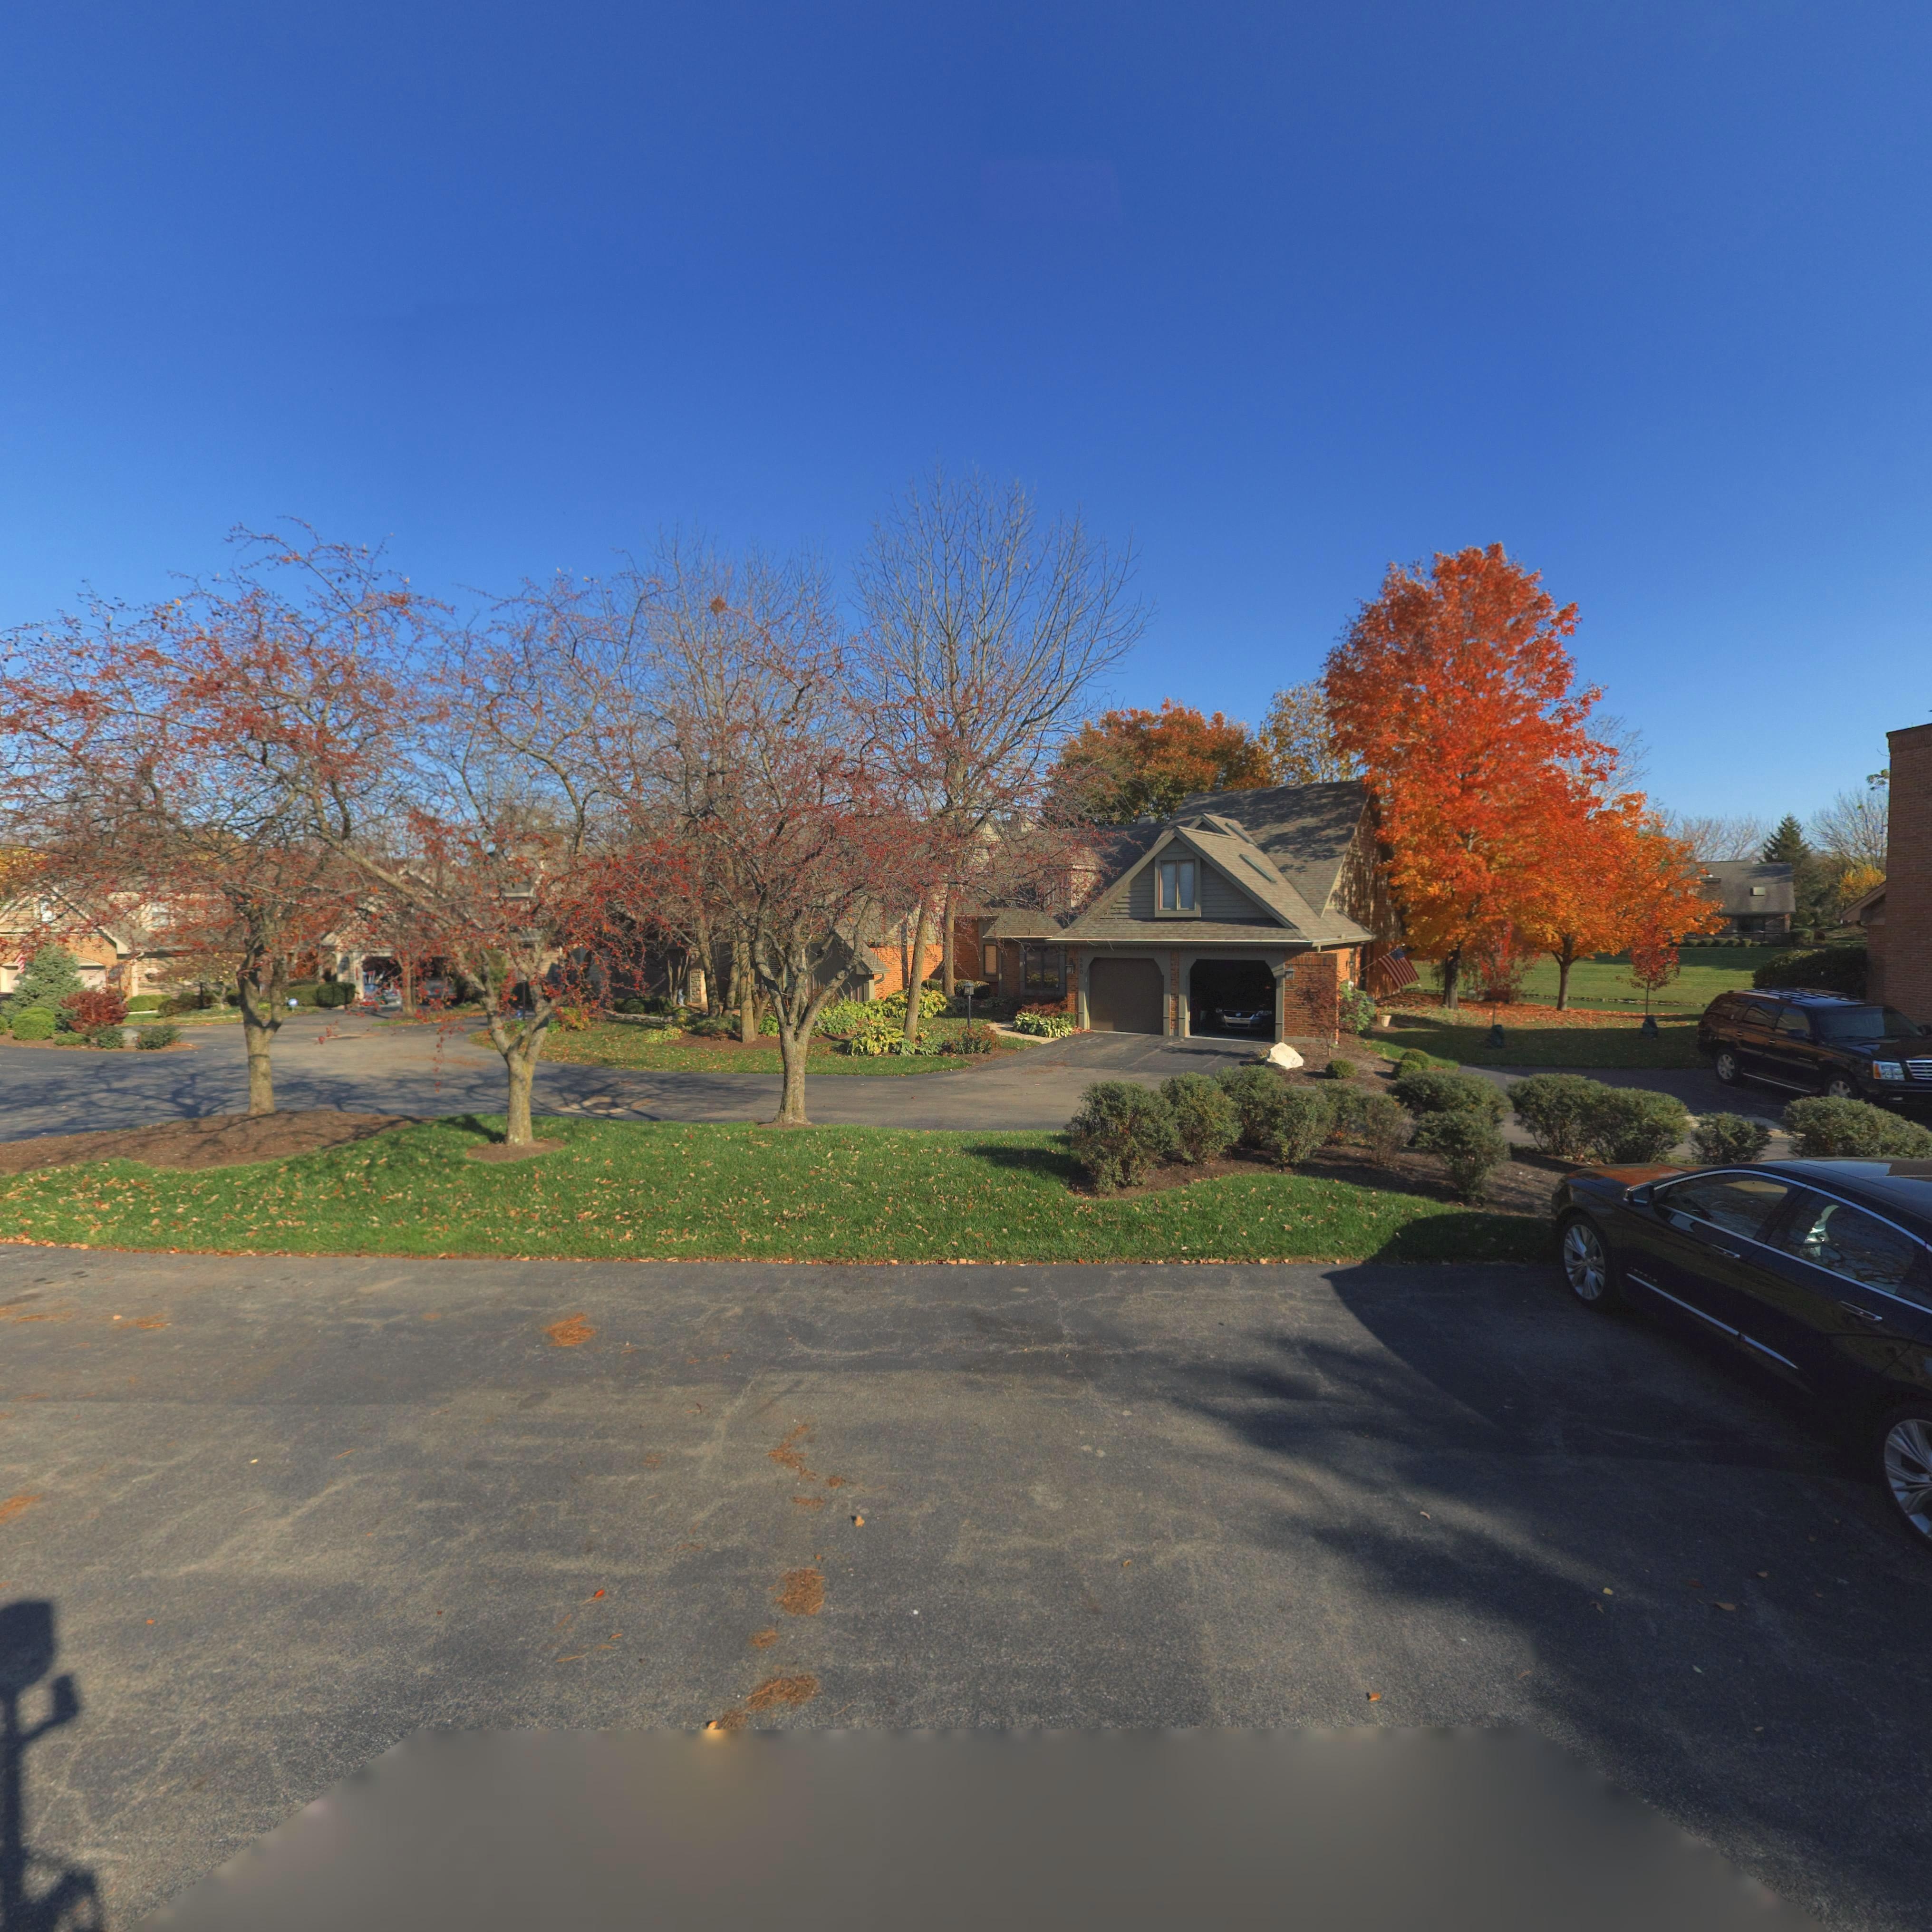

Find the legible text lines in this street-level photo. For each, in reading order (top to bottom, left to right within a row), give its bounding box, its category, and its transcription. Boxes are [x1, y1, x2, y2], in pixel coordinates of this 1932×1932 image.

[1079, 957, 1083, 975] StreetNumber: 590